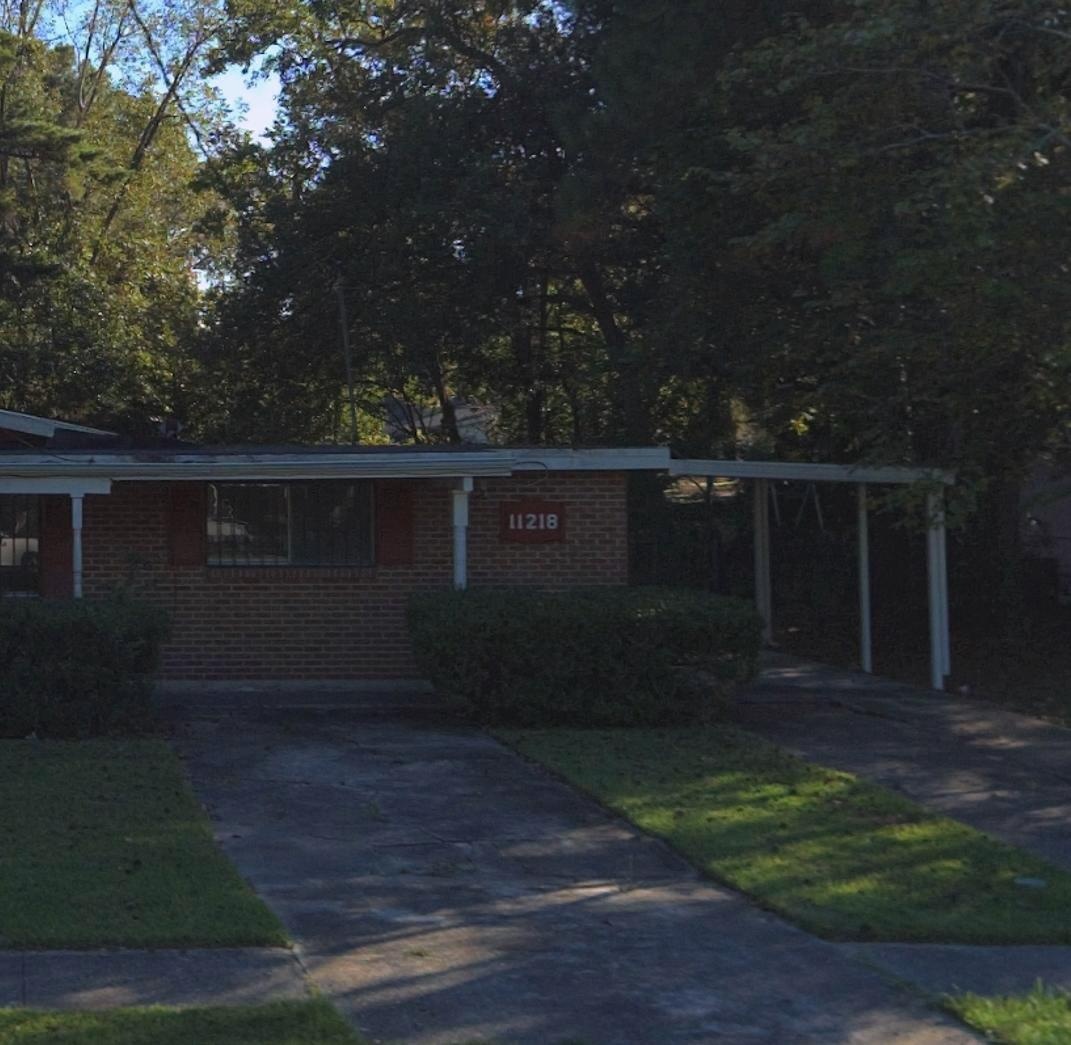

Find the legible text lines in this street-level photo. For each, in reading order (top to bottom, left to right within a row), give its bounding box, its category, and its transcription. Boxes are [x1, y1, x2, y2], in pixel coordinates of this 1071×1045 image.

[508, 512, 559, 531] StreetNumber: 11218